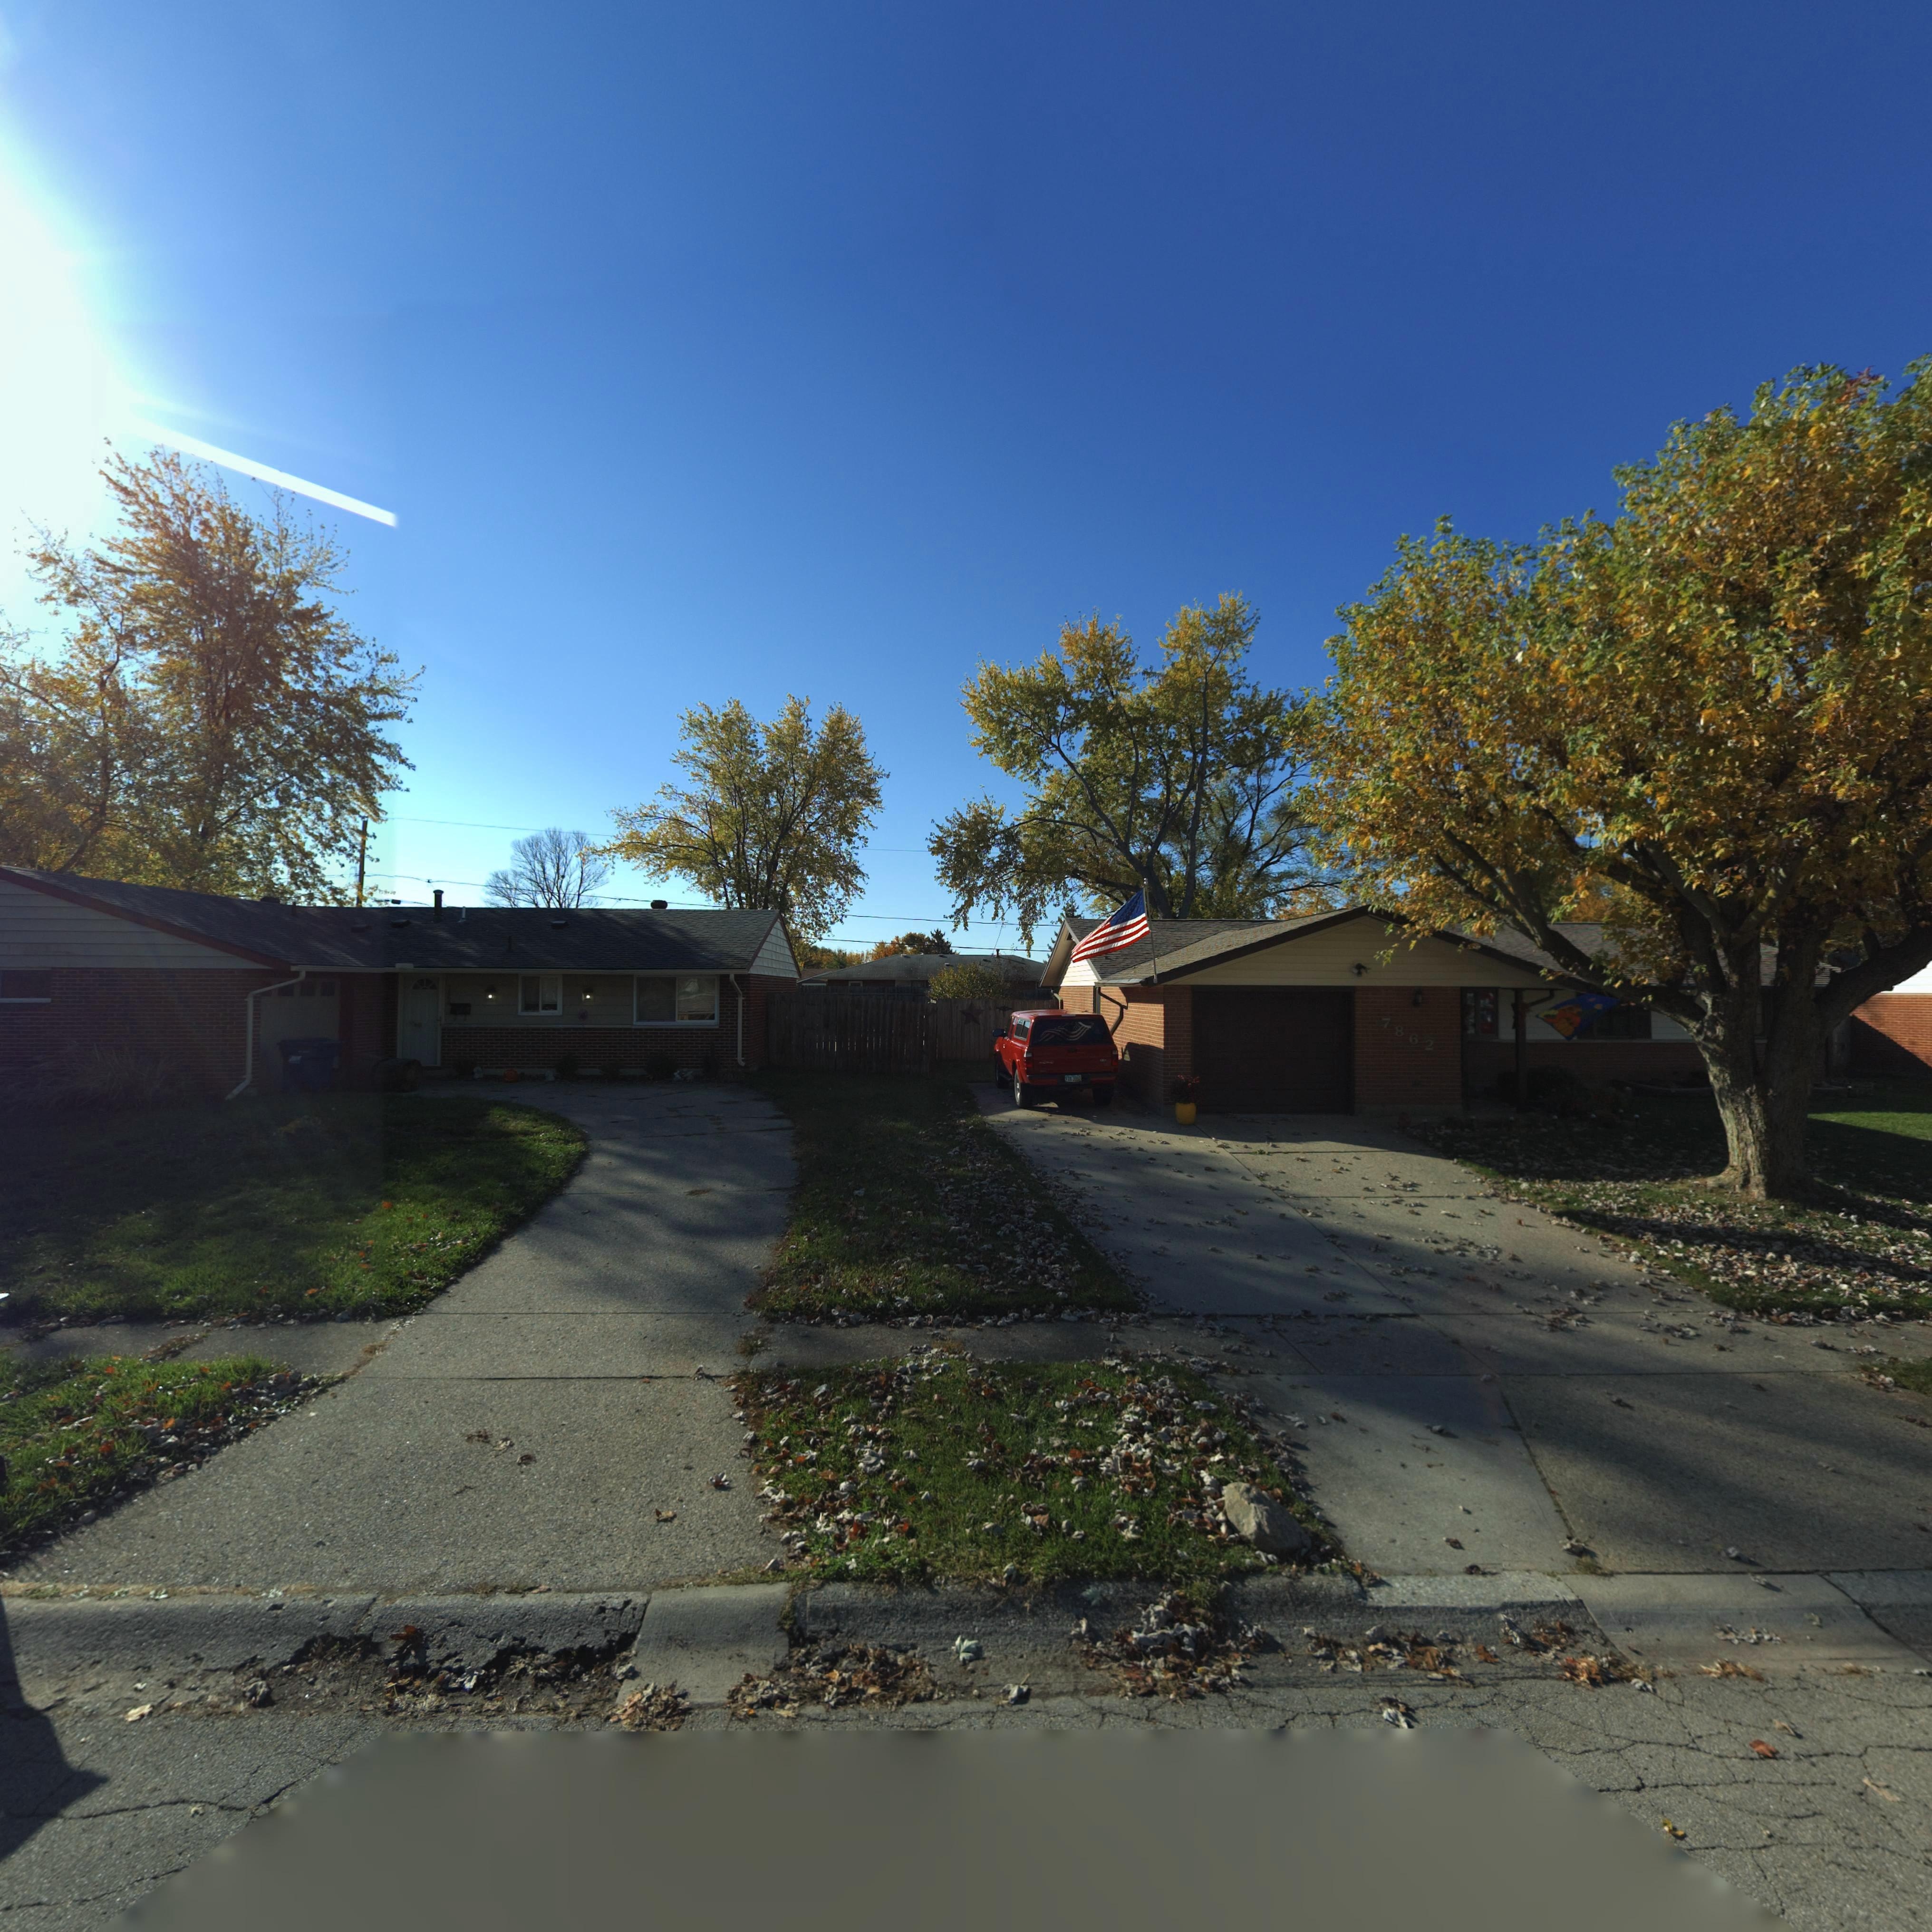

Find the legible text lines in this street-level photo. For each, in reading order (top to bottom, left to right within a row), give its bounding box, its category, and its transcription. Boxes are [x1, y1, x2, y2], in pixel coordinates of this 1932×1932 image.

[445, 984, 451, 1005] StreetNumber: 7**6
[1381, 1017, 1434, 1051] StreetNumber: 7862